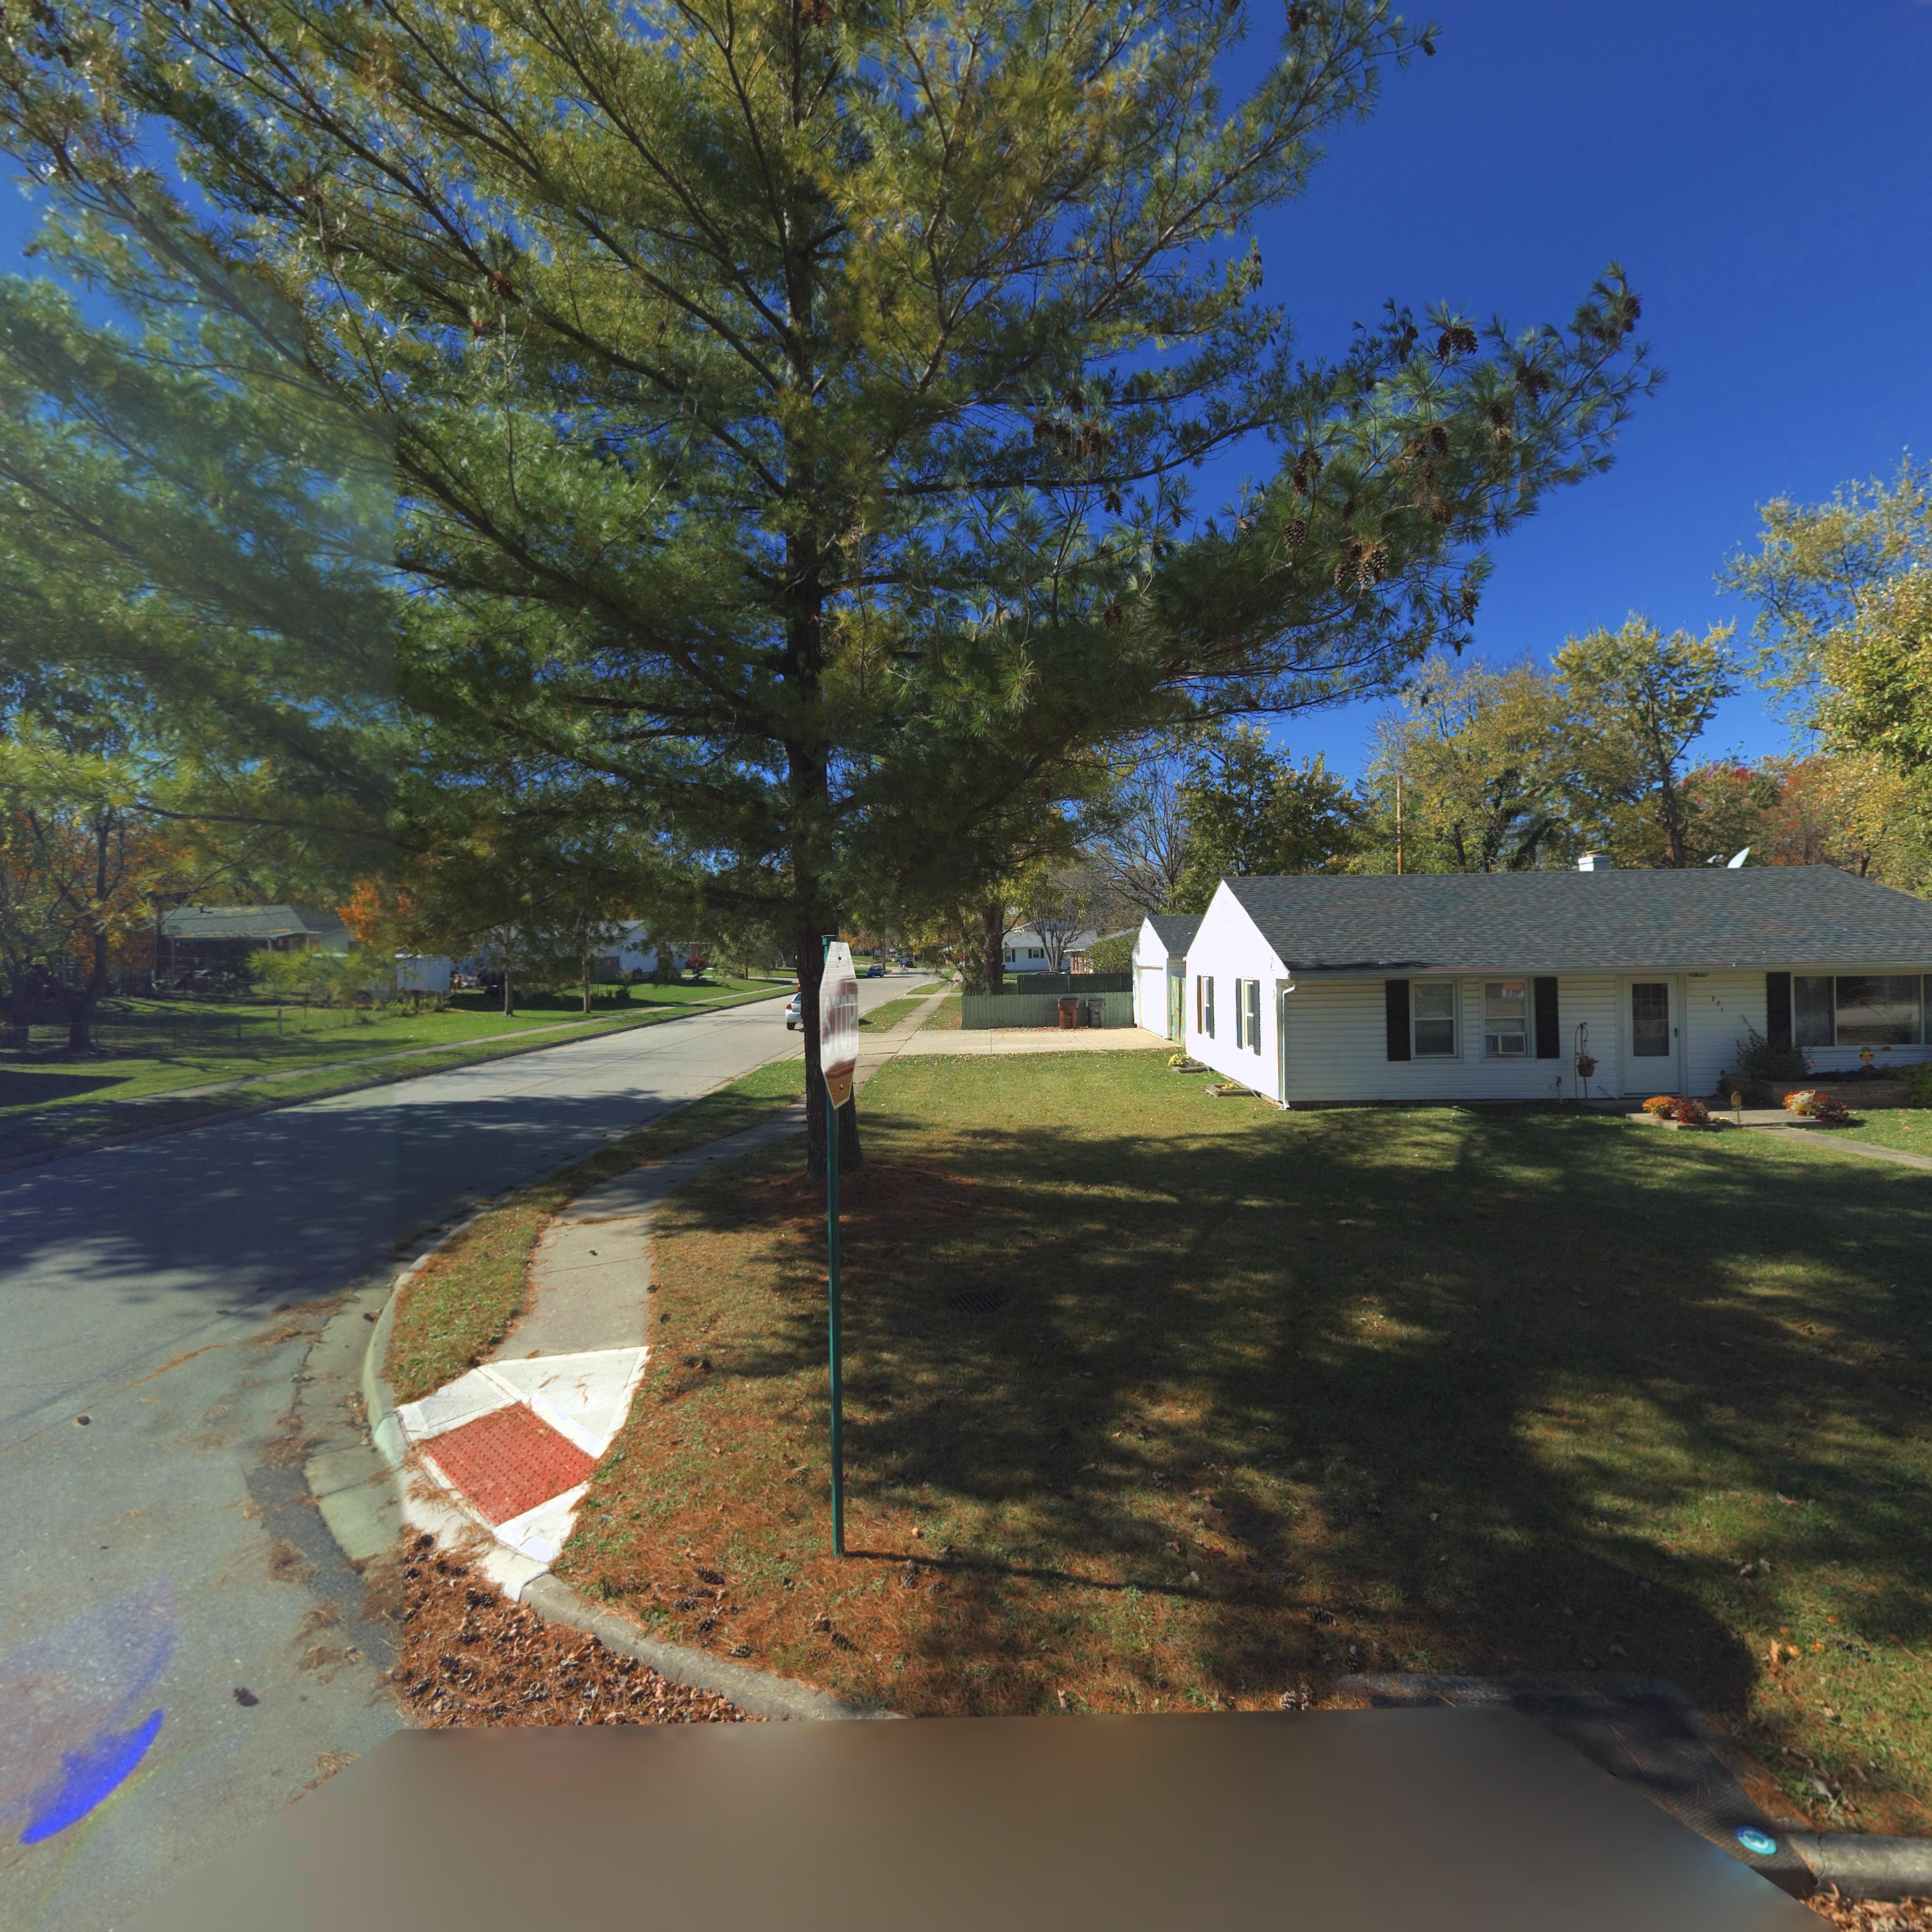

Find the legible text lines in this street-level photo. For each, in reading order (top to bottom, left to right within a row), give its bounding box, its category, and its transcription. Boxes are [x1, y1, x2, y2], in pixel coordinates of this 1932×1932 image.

[1711, 995, 1724, 1013] StreetNumber: 721